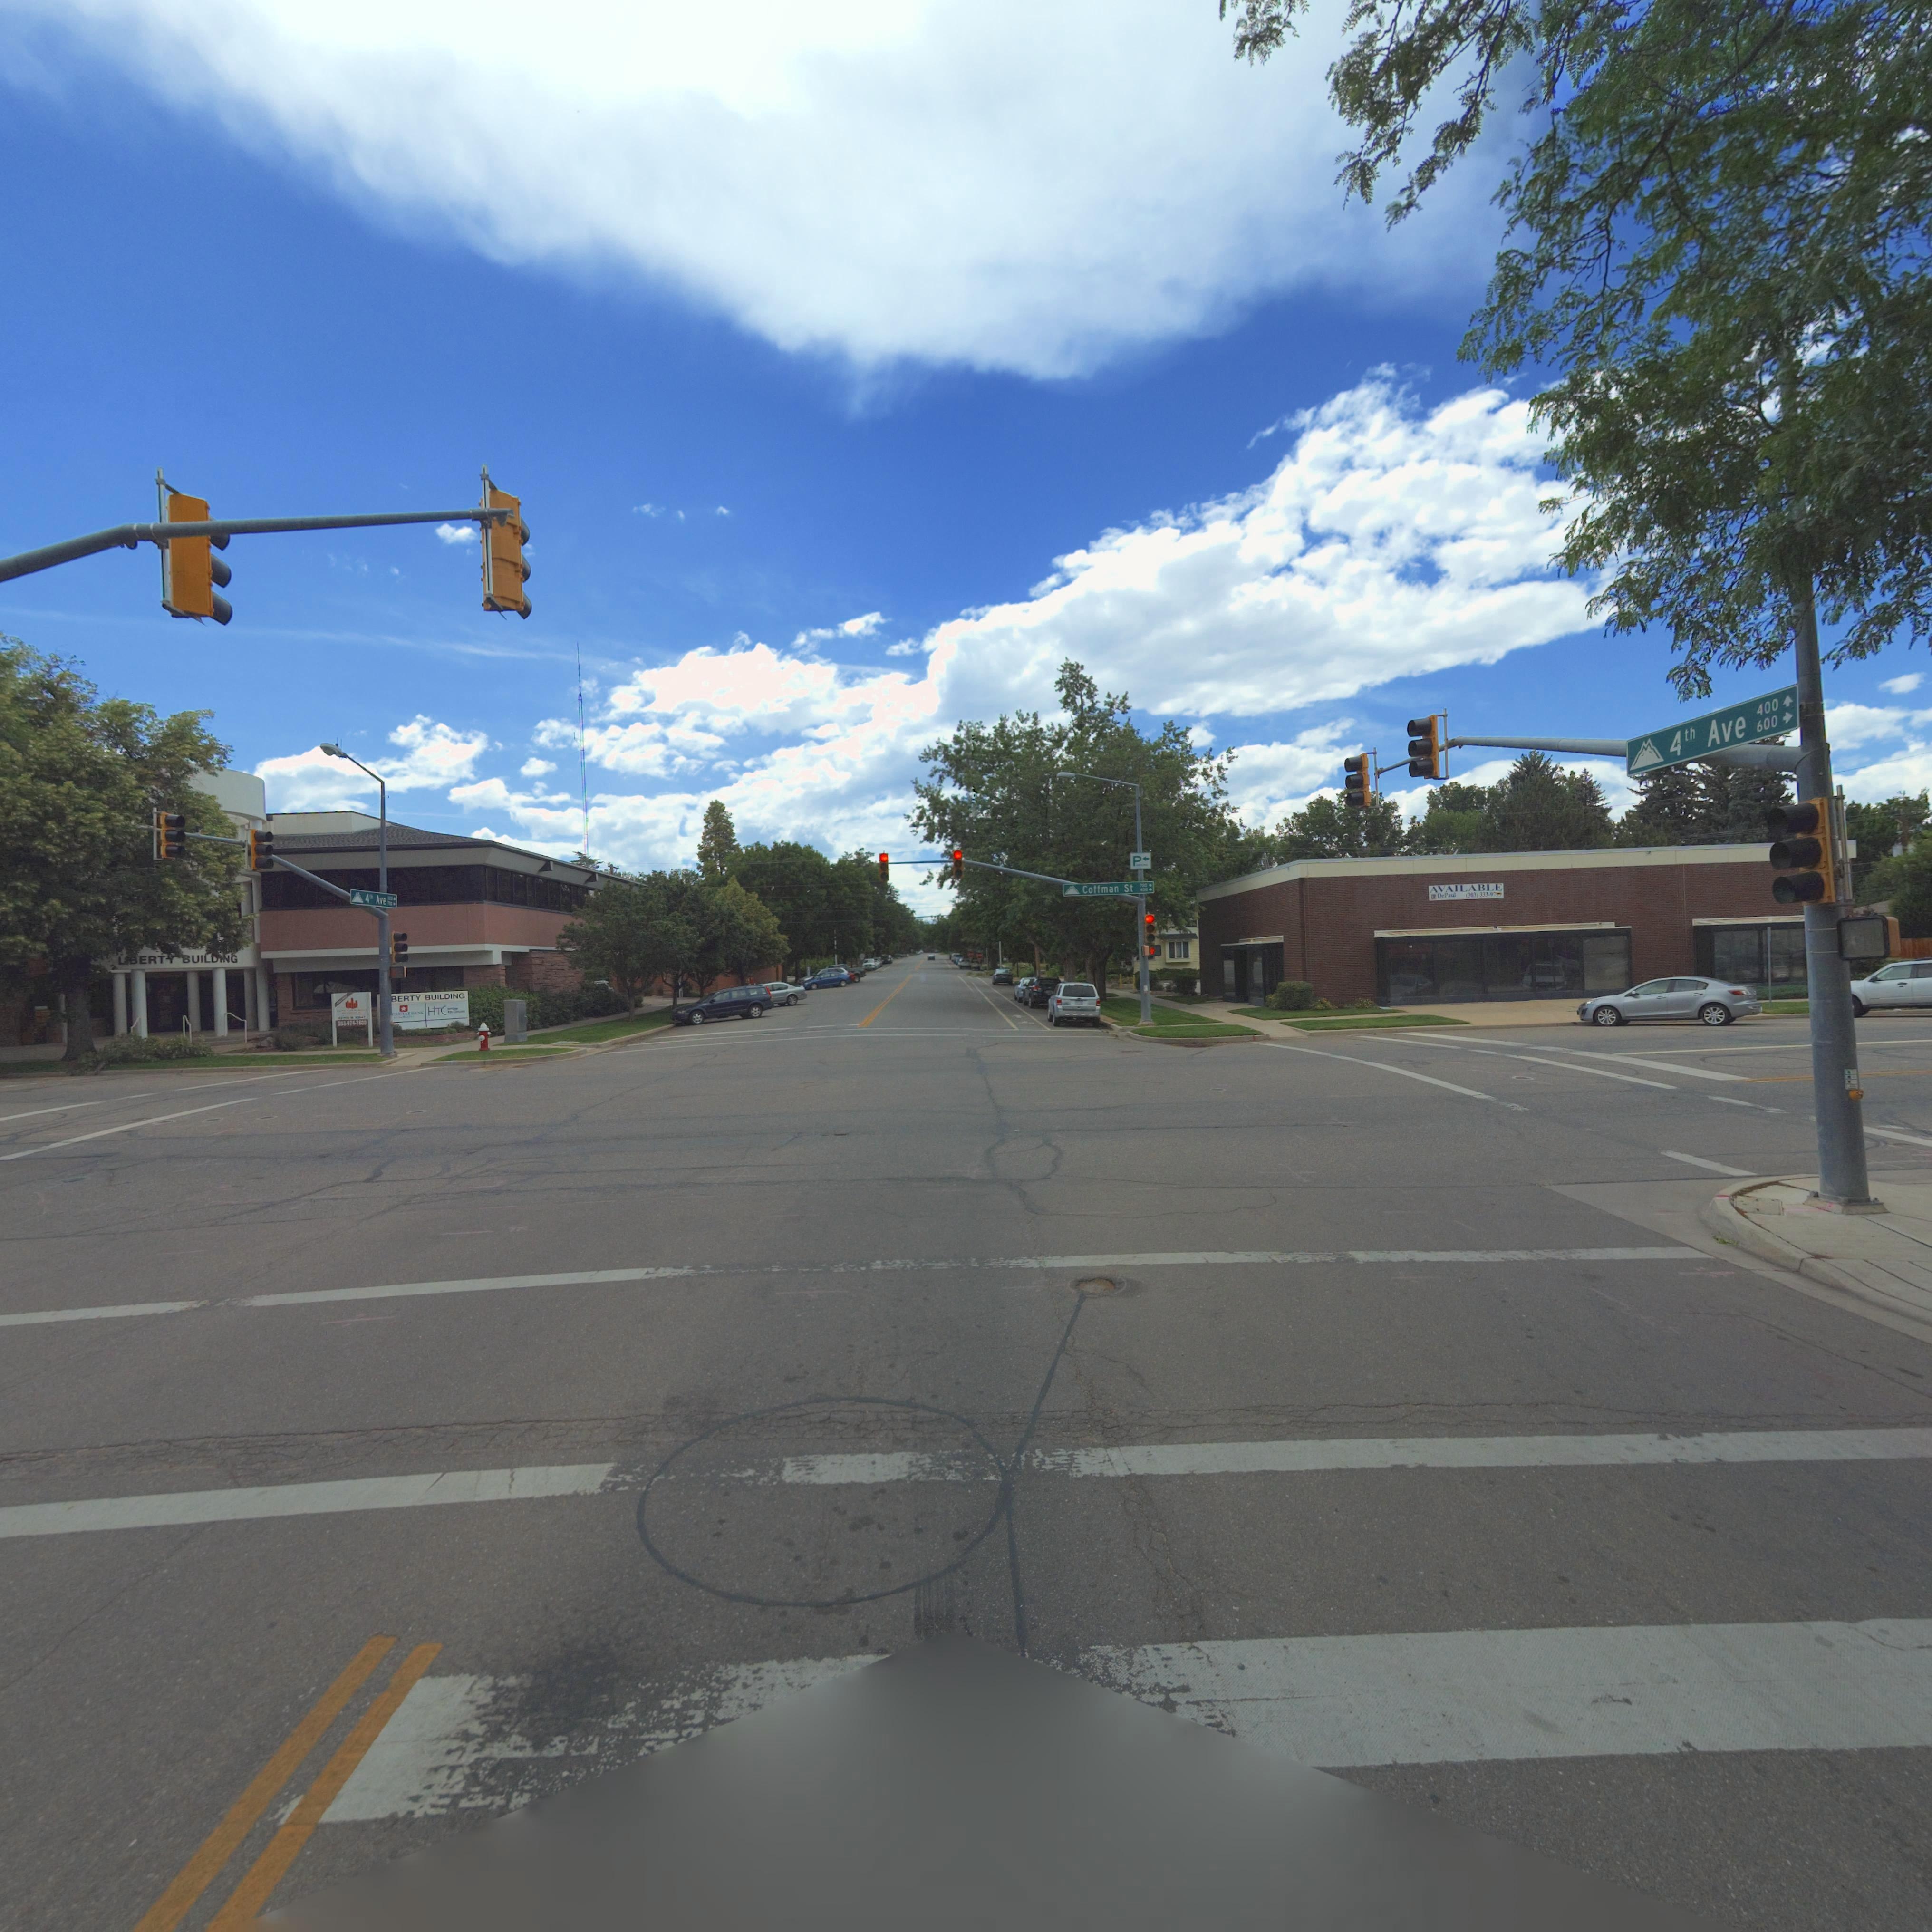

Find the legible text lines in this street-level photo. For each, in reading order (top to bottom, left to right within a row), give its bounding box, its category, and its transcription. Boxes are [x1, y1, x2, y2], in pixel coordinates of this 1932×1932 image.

[1757, 697, 1778, 715] StreetNumber: 400
[1757, 712, 1793, 732] StreetNumberRange: 600->
[1670, 715, 1746, 756] StreetName: 4th Ave
[1081, 884, 1133, 894] StreetName: Coffman St
[1139, 883, 1147, 887] StreetNumber: 700
[1140, 888, 1152, 891] StreetNumberRange: 400 ->
[365, 893, 386, 905] StreetName: 4th Ave
[387, 901, 392, 906] StreetNumber: 700
[387, 896, 393, 900] StreetNumber: 200